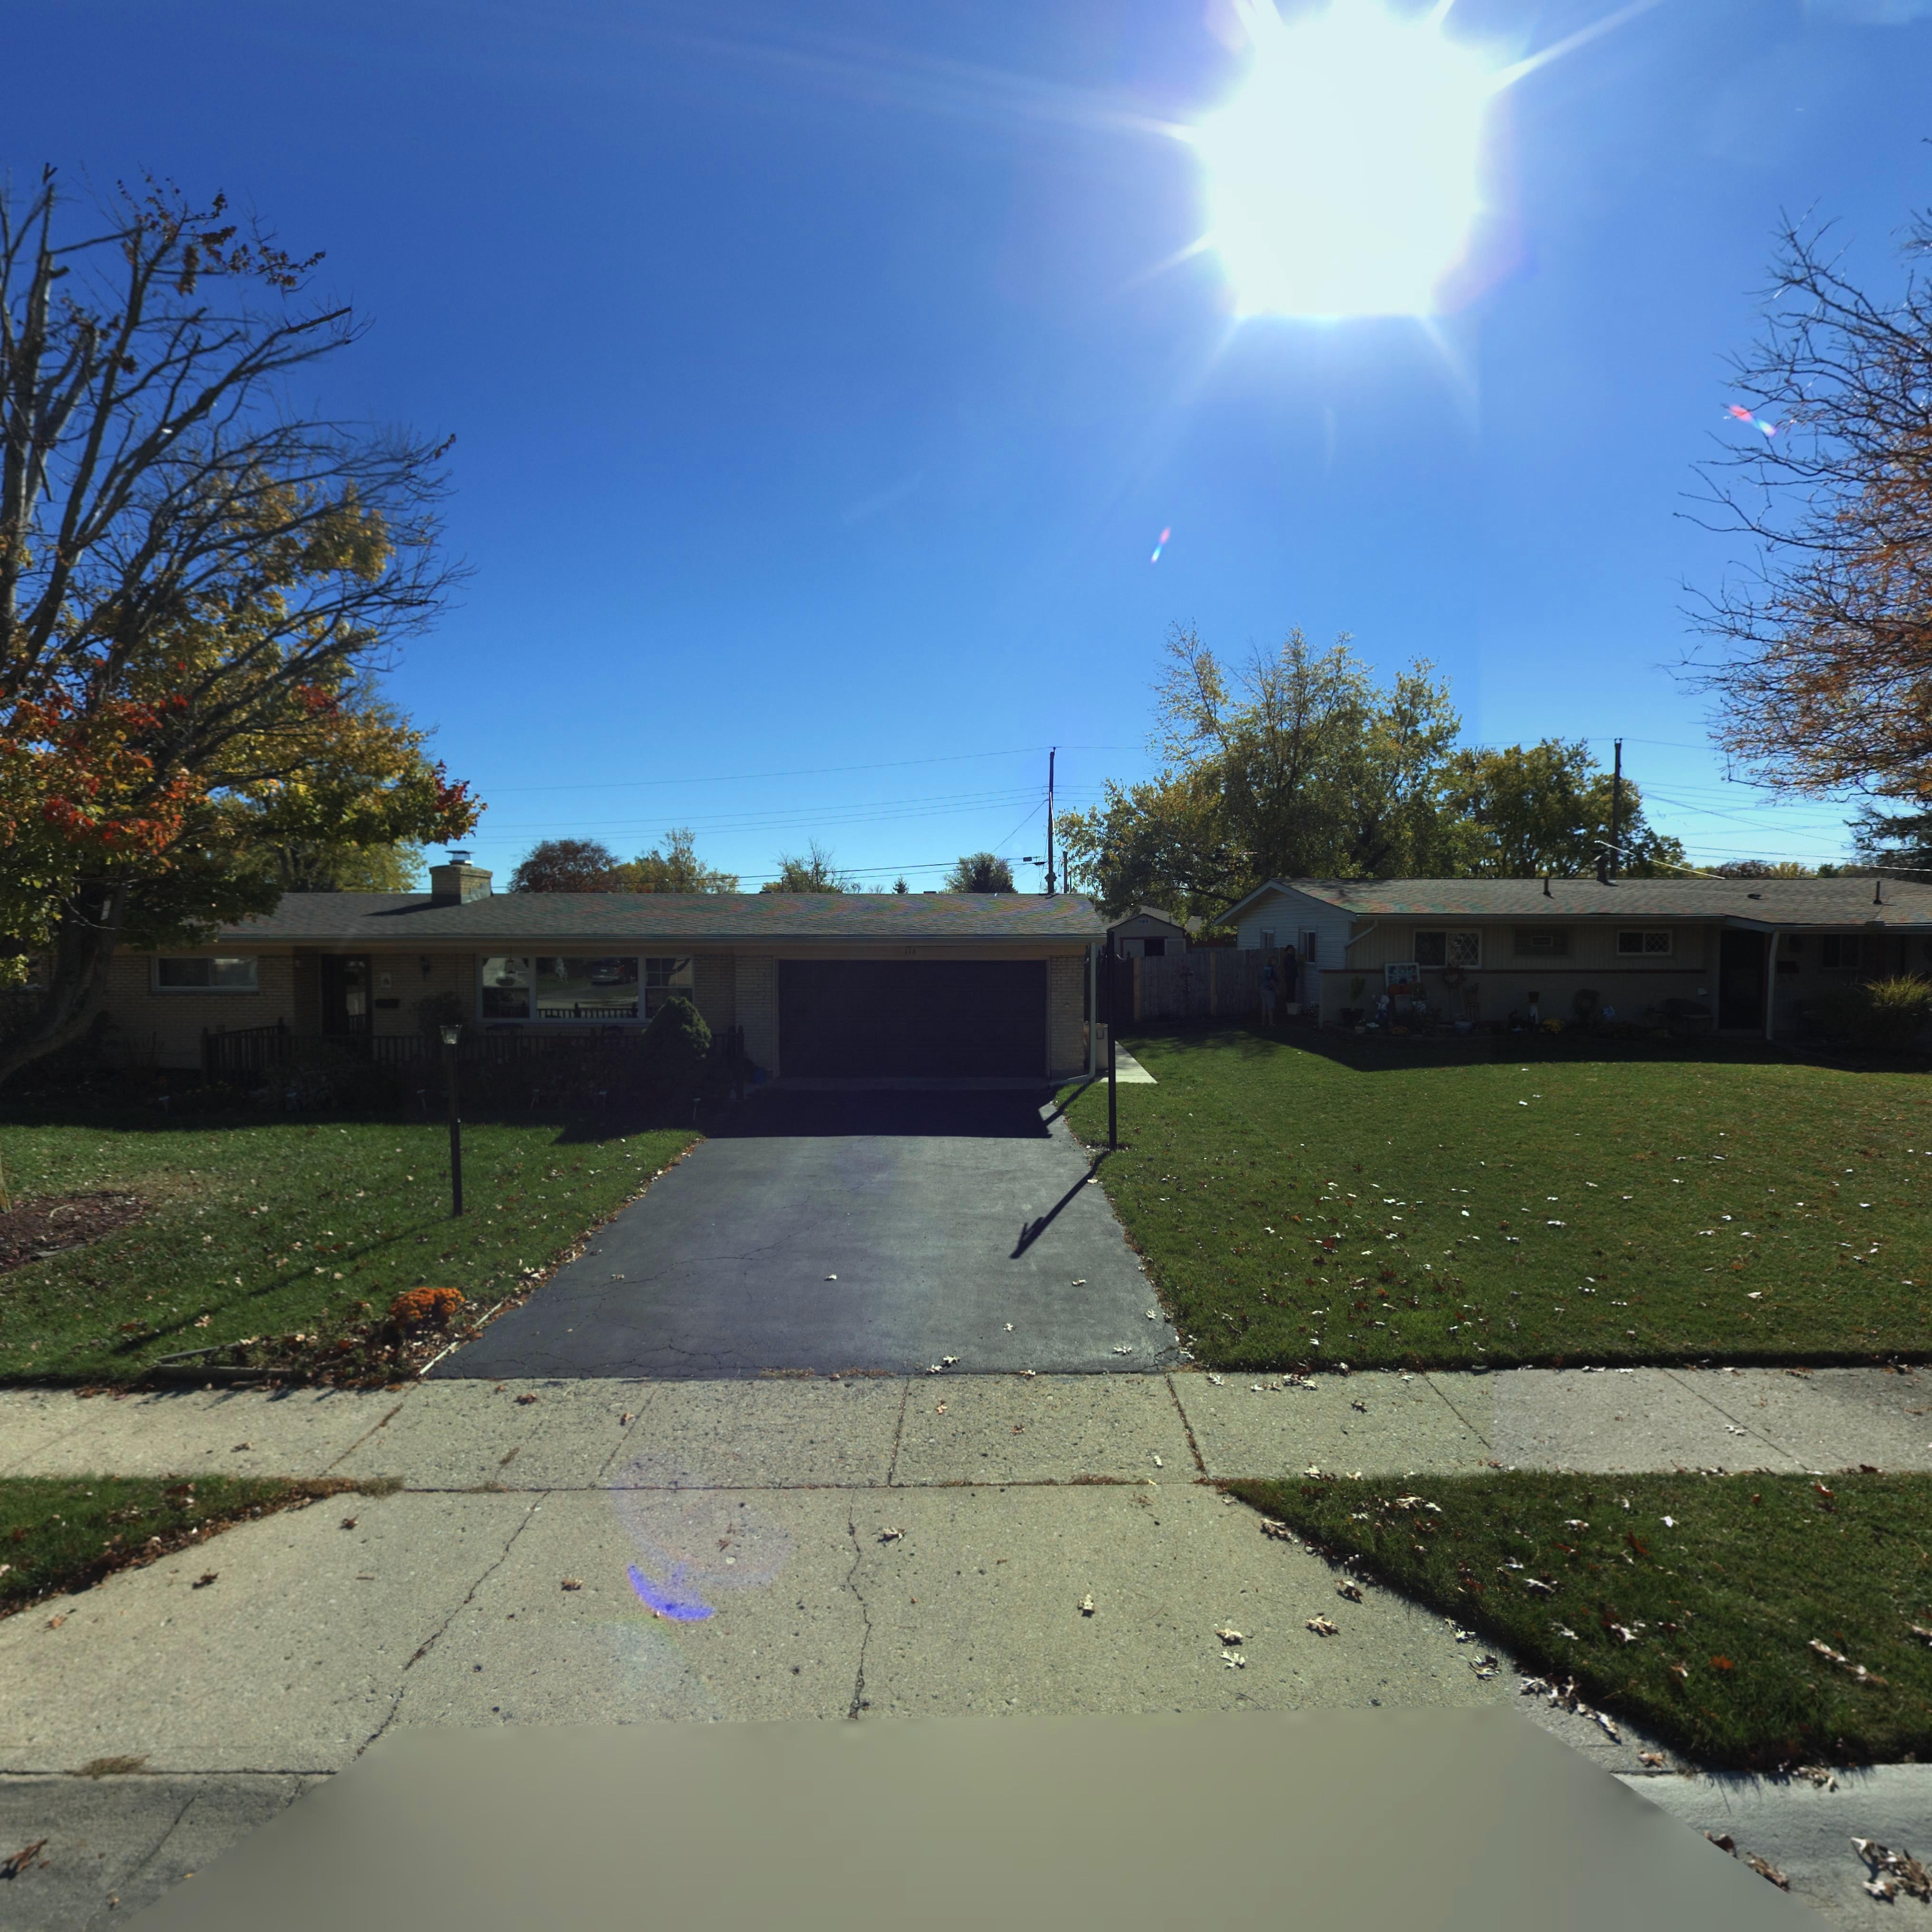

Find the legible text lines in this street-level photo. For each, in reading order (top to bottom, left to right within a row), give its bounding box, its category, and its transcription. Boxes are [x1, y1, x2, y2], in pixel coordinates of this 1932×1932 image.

[904, 947, 917, 956] StreetNumber: 116